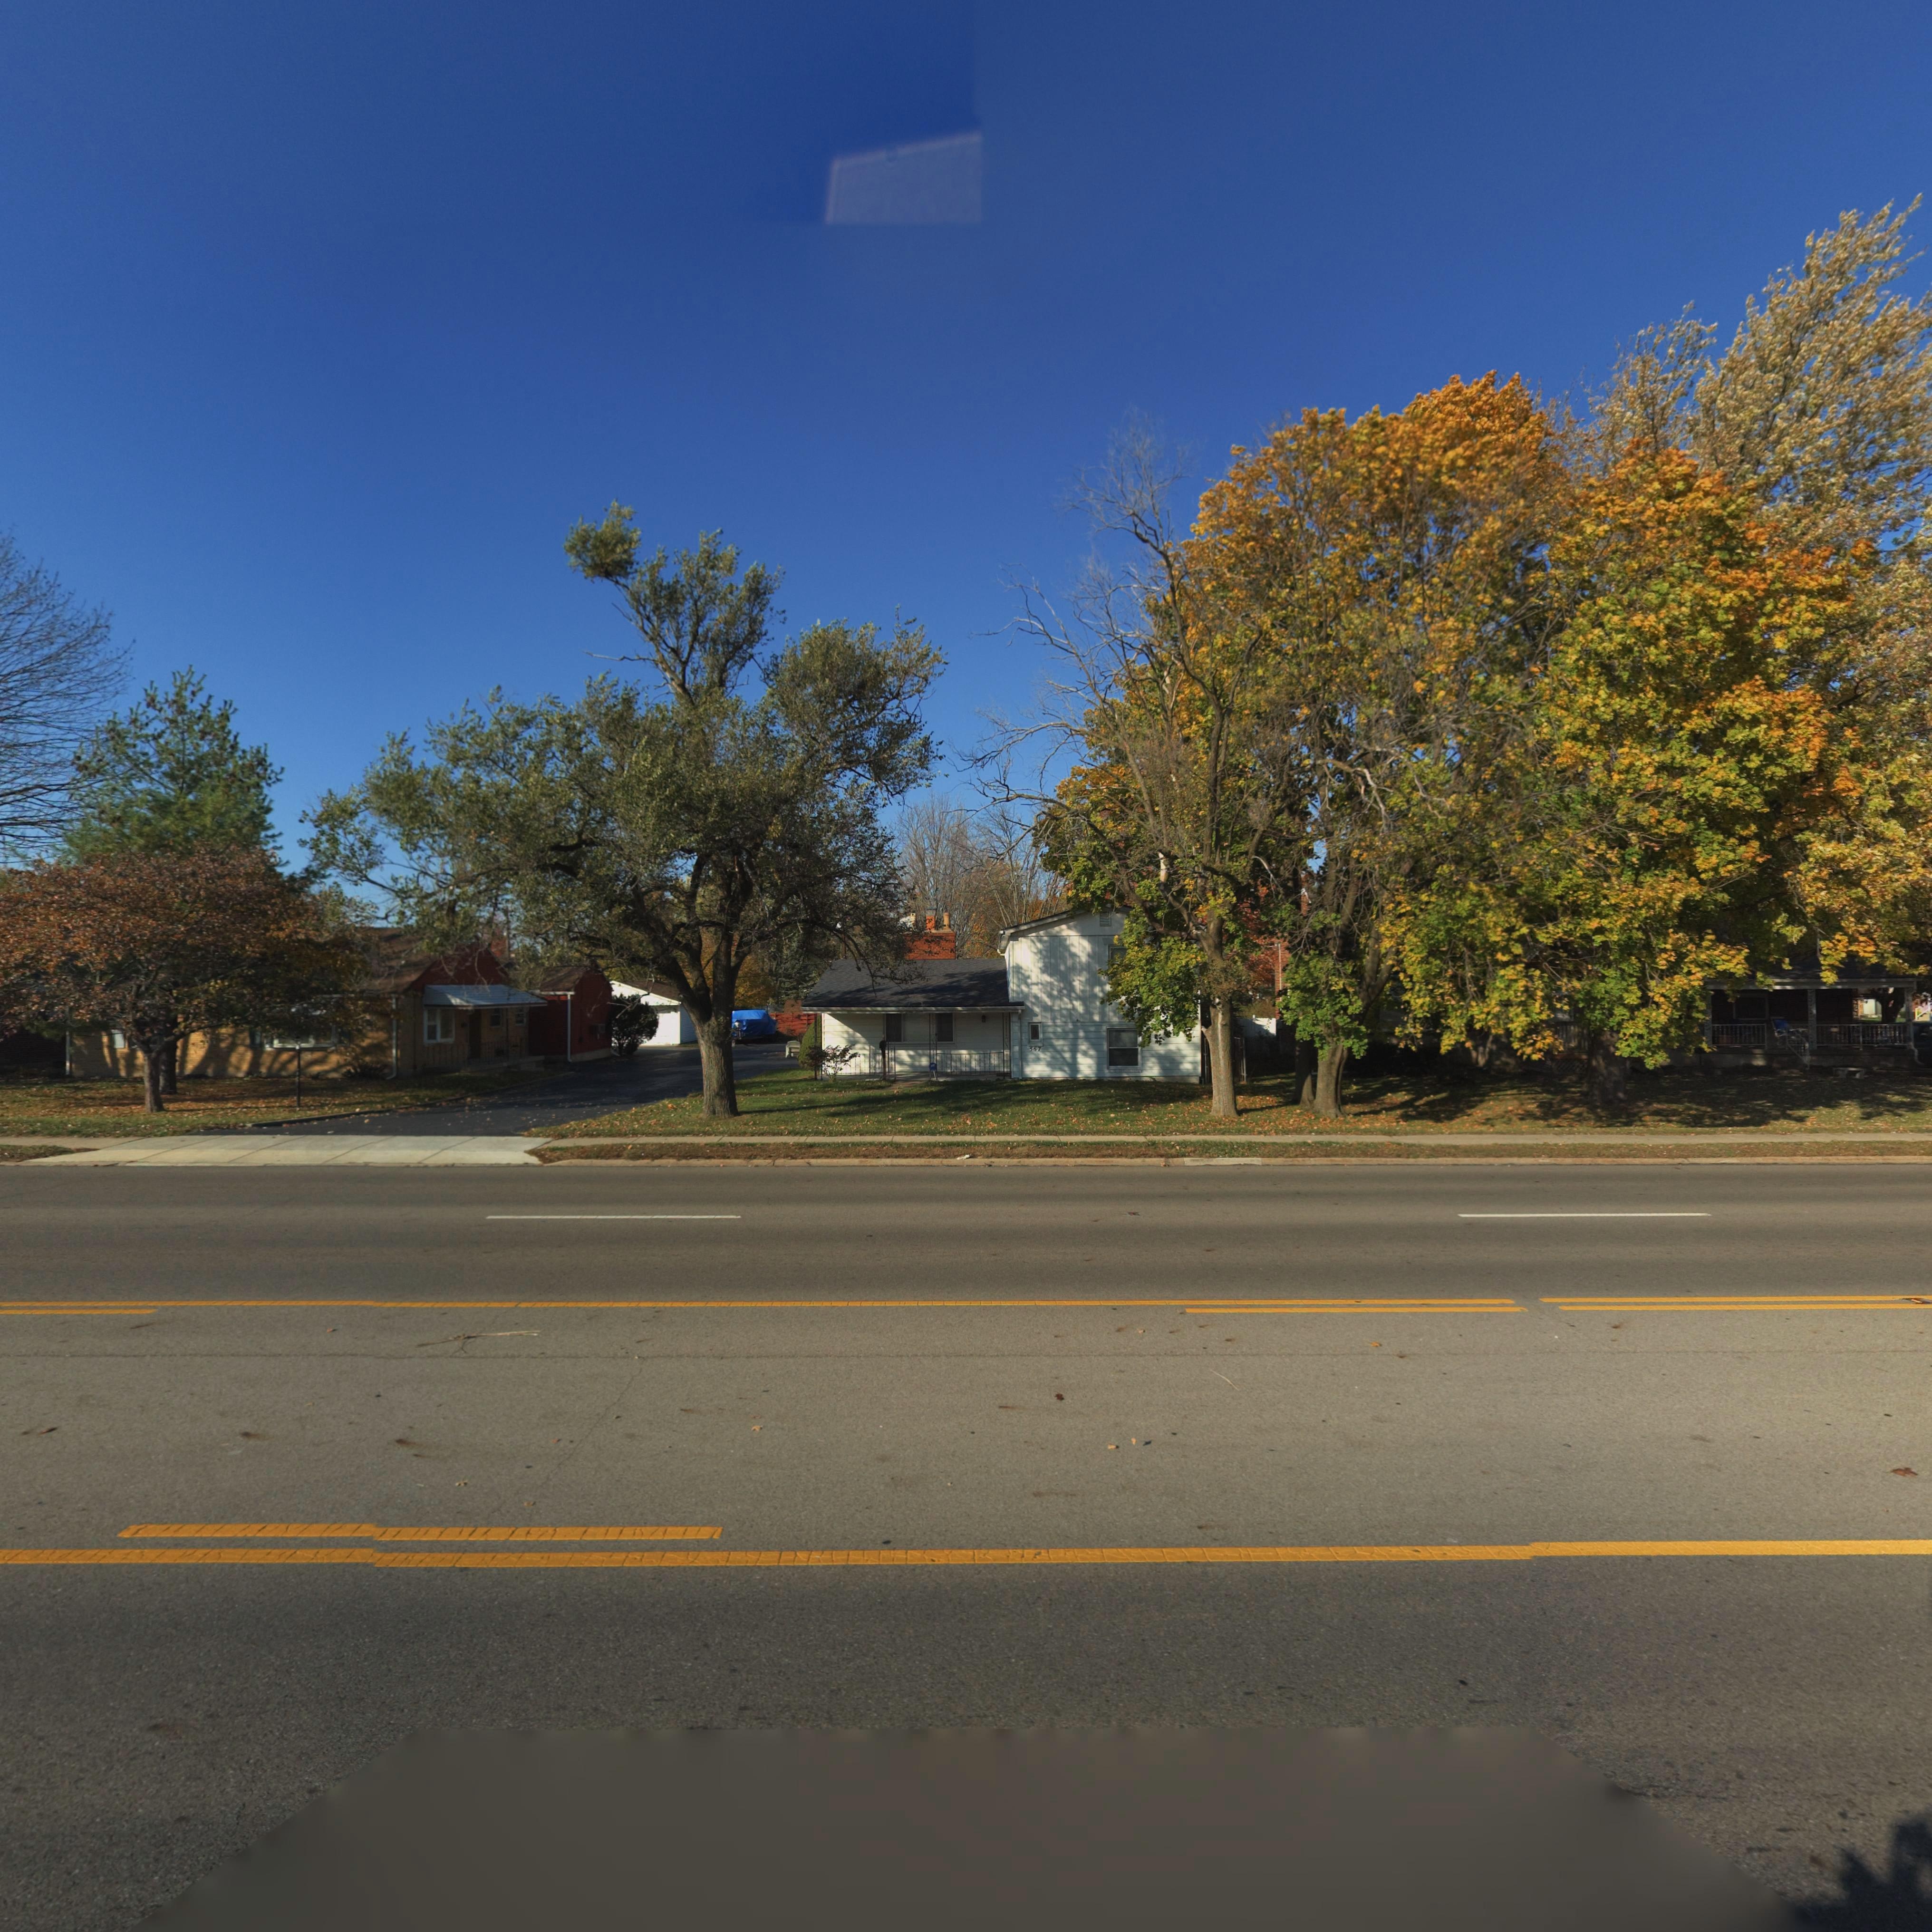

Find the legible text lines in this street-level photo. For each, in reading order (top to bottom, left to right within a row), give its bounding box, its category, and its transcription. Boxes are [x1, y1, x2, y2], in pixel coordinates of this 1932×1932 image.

[1029, 1046, 1042, 1052] StreetNumber: 567